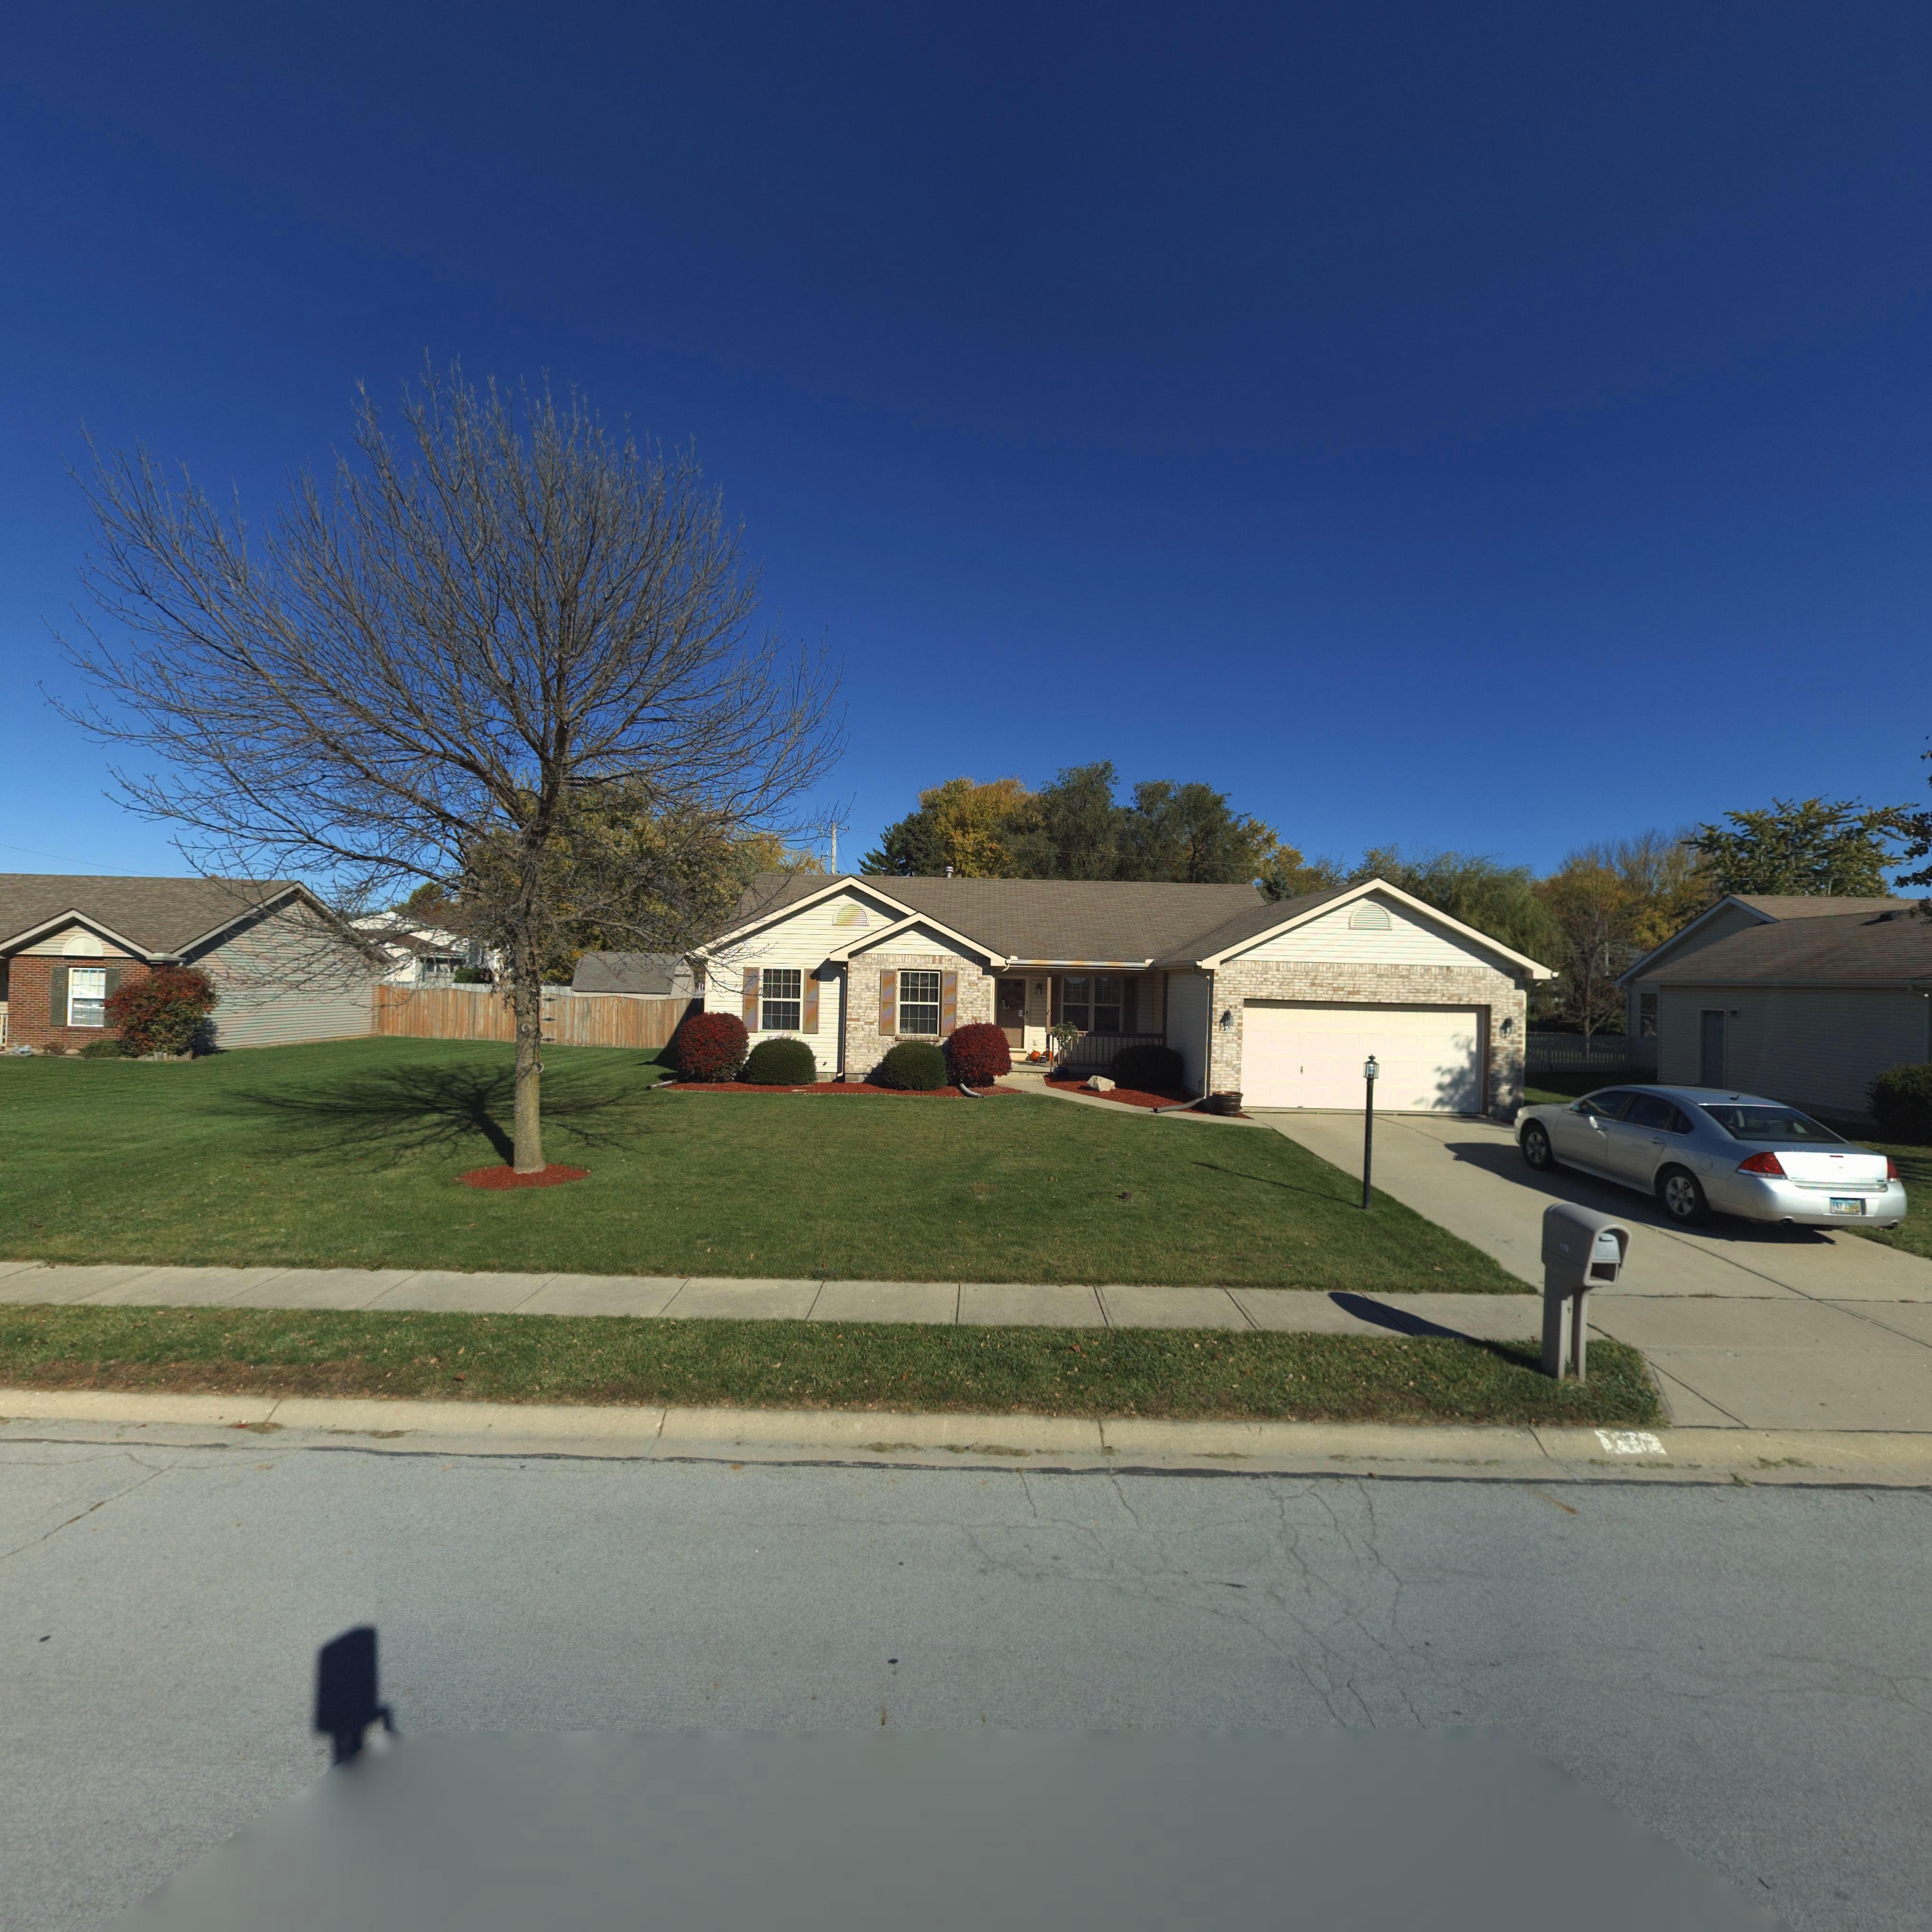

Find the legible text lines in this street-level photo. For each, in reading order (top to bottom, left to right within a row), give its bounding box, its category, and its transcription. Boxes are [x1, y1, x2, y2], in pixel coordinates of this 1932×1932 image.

[1558, 1241, 1570, 1253] StreetNumber: 119
[1620, 1433, 1652, 1455] StreetNumber: 19